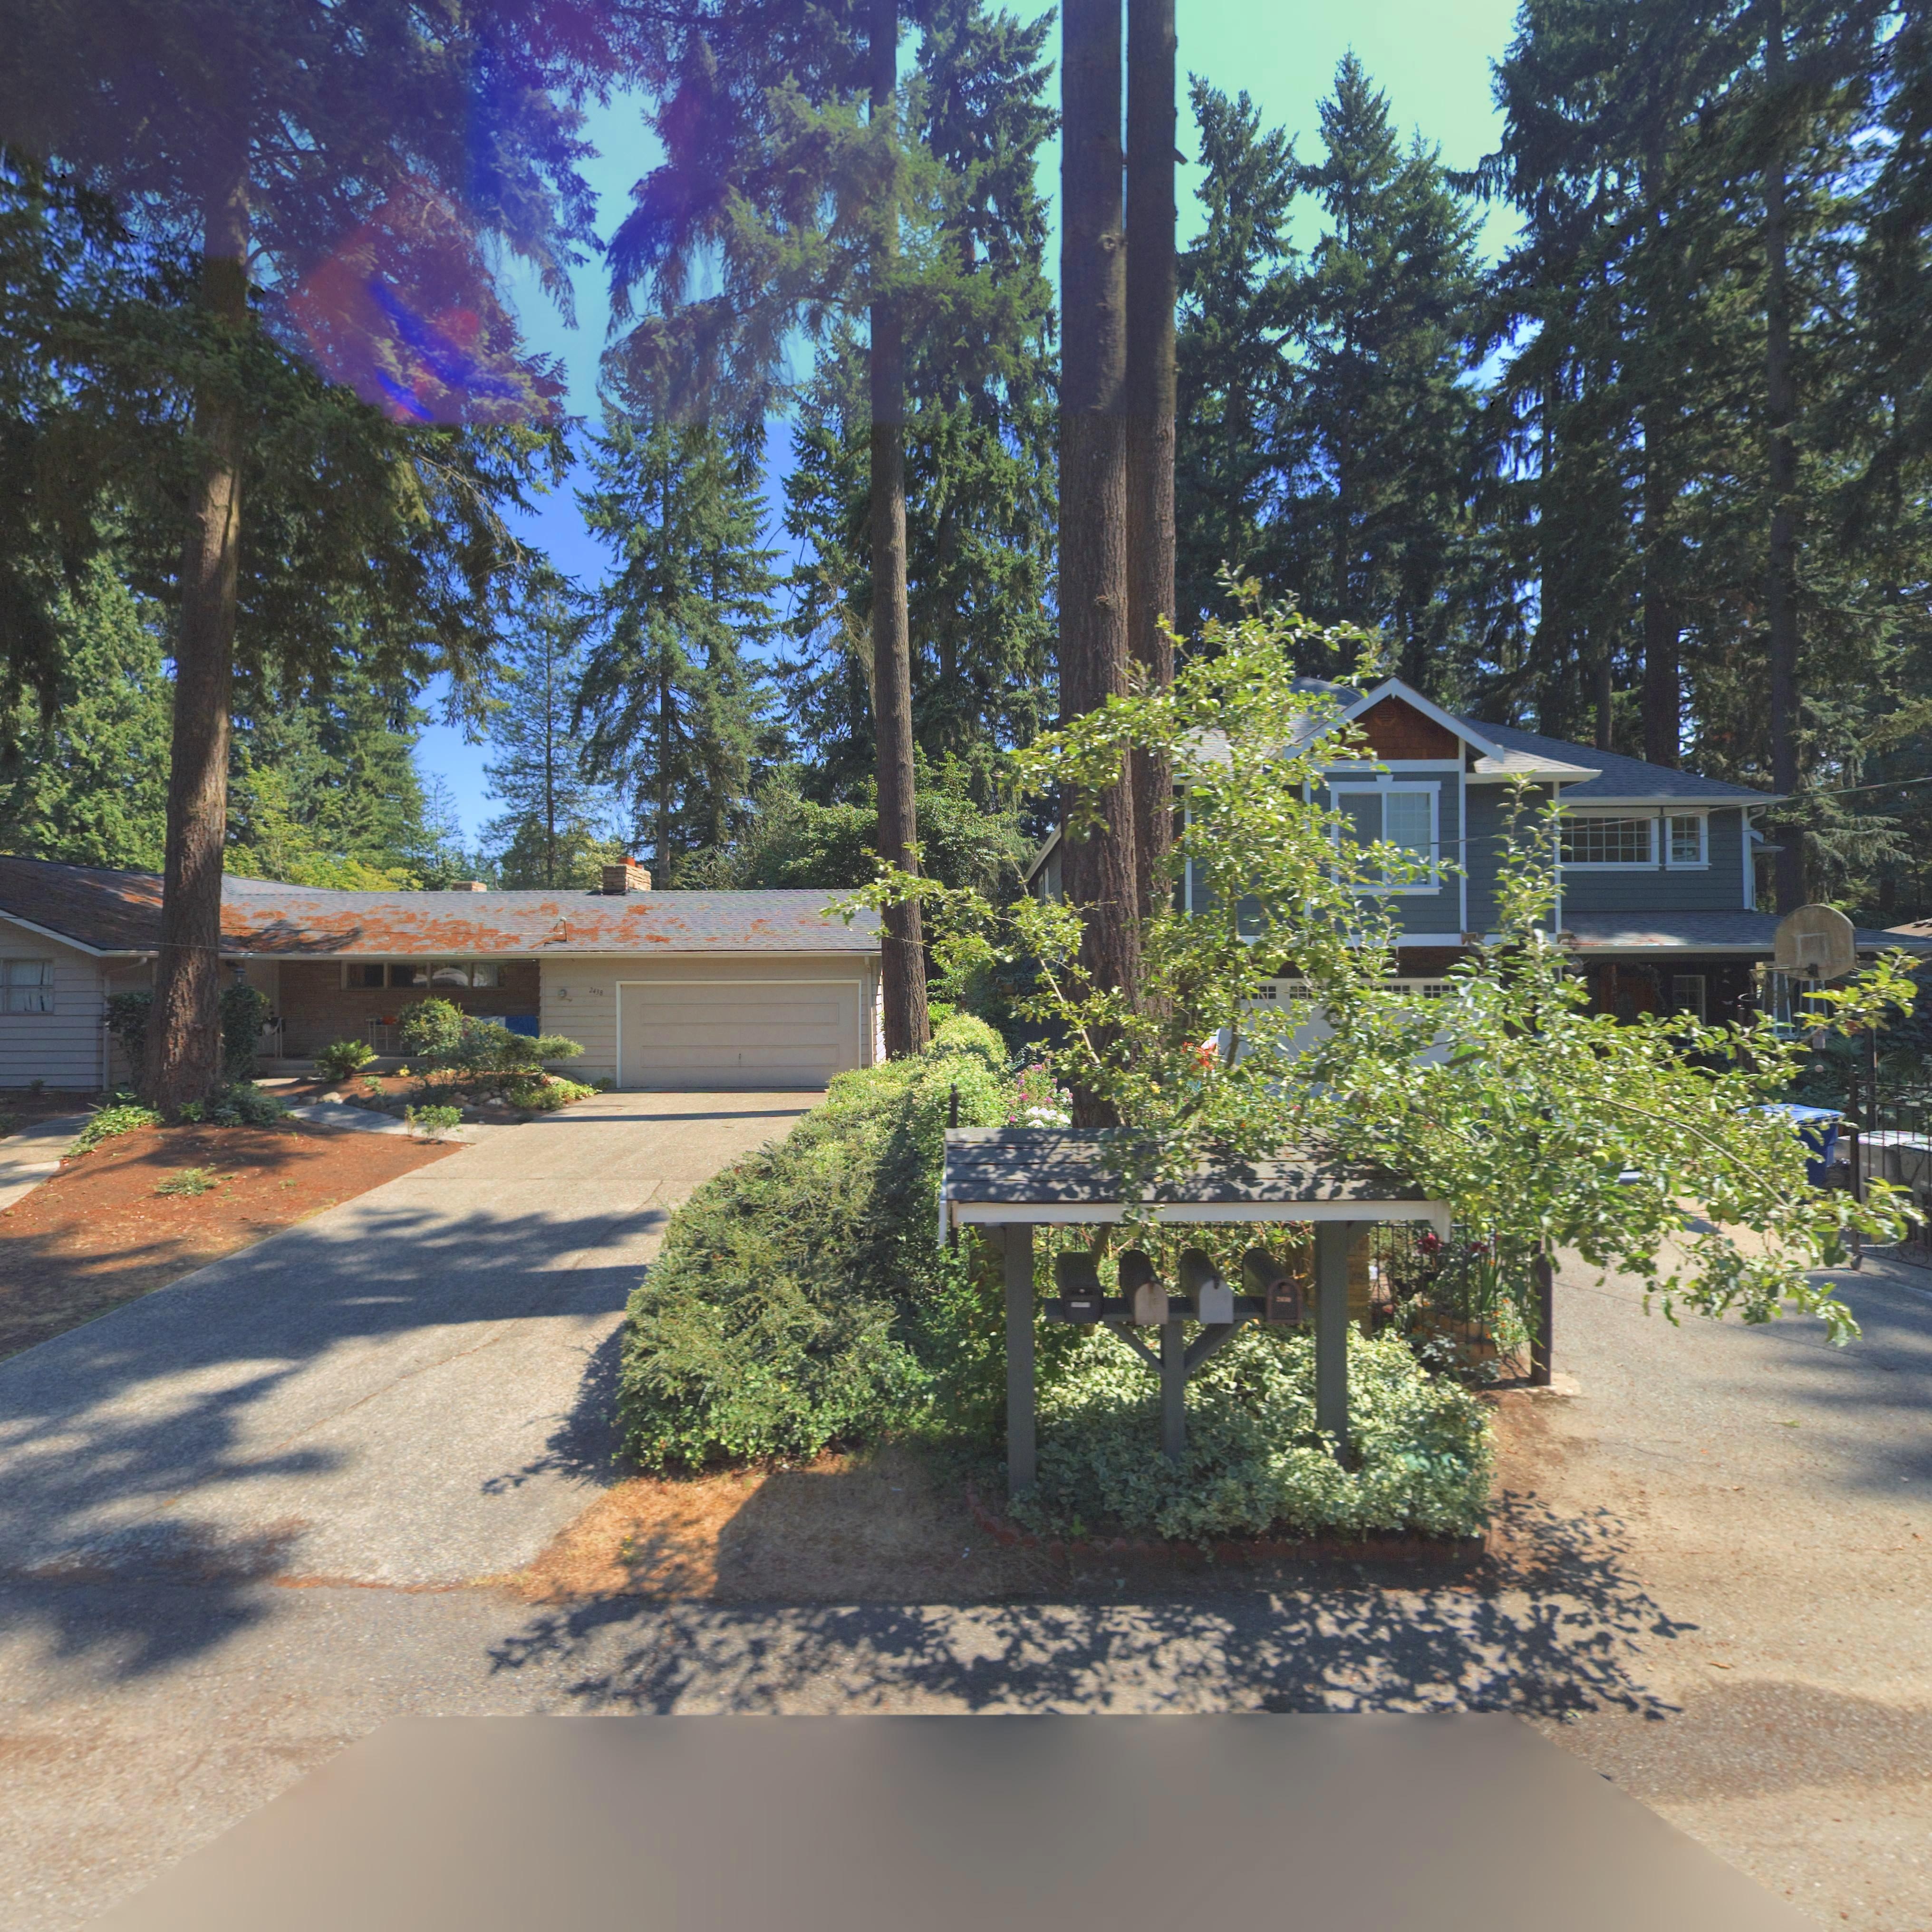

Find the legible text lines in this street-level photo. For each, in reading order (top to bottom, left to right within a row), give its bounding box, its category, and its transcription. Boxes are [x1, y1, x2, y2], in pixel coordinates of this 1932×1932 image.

[589, 987, 603, 996] StreetNumber: 2438